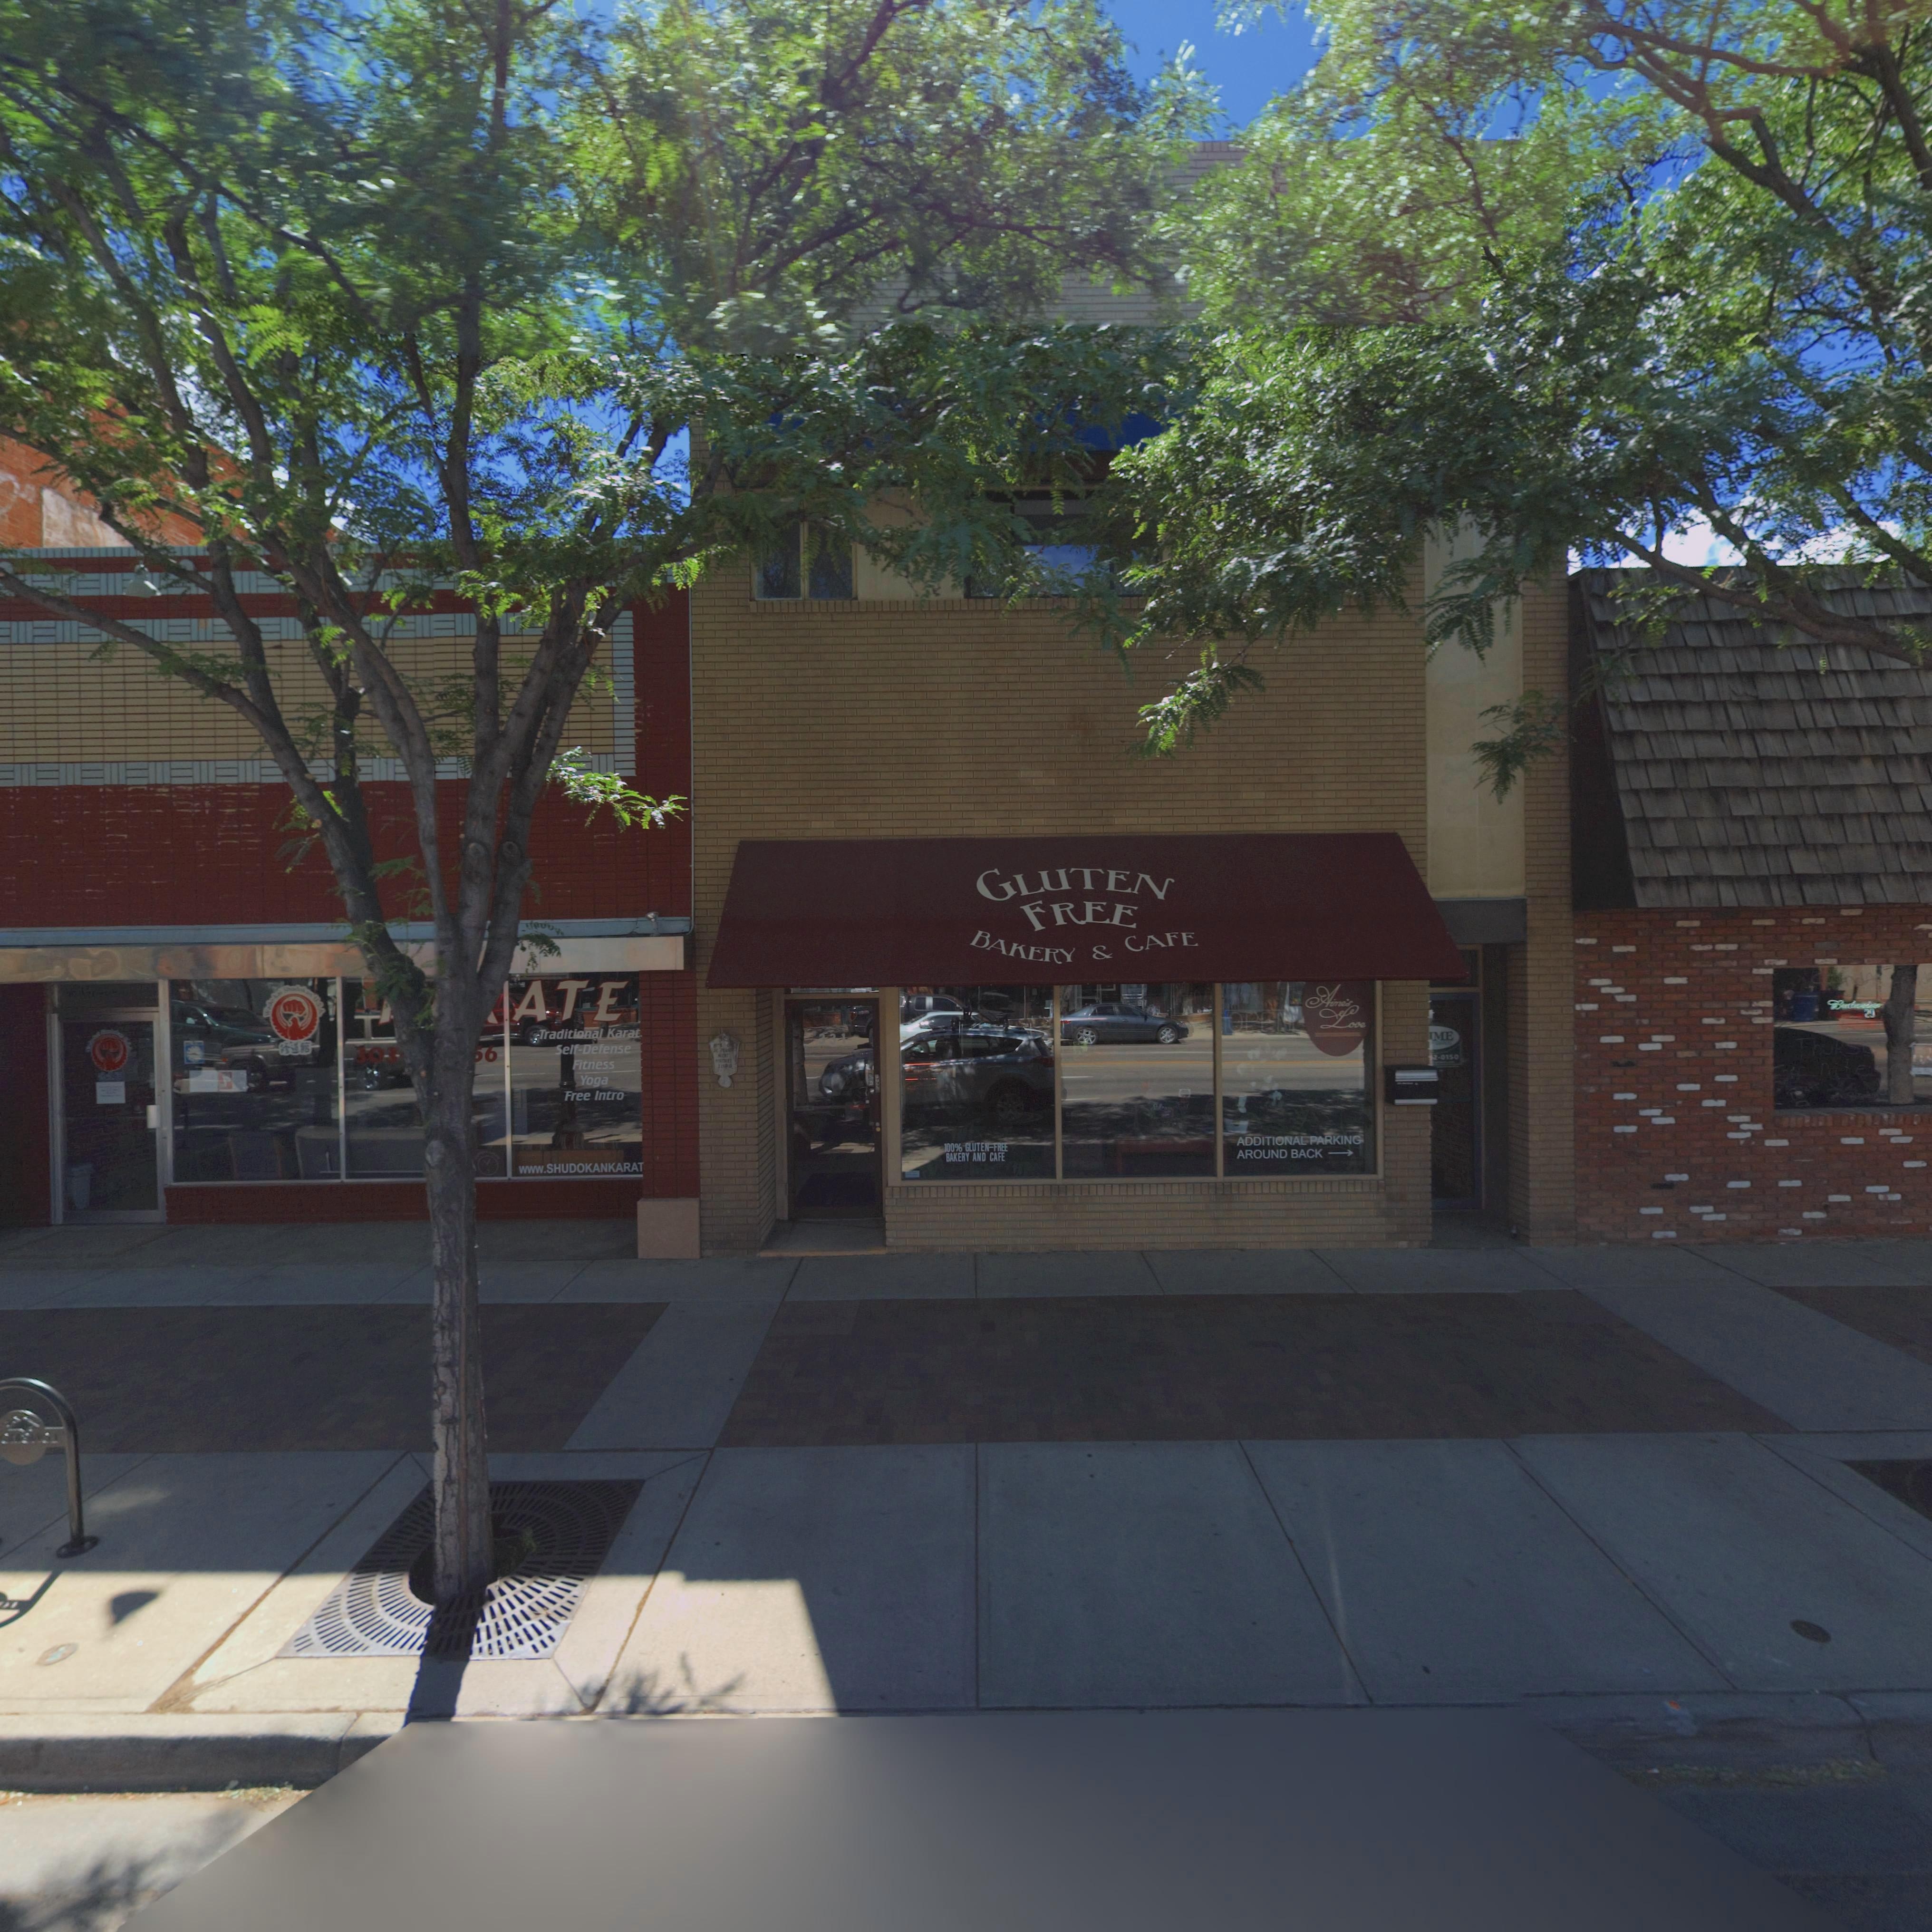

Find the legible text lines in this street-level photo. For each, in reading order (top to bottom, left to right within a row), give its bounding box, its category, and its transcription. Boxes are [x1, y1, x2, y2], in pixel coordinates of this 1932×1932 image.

[478, 978, 630, 1024] BusinessName: *ATE
[1303, 982, 1354, 1009] BusinessName: Aime's
[1318, 1004, 1366, 1029] BusinessName: Love
[817, 1033, 846, 1045] StreetNumber: 331